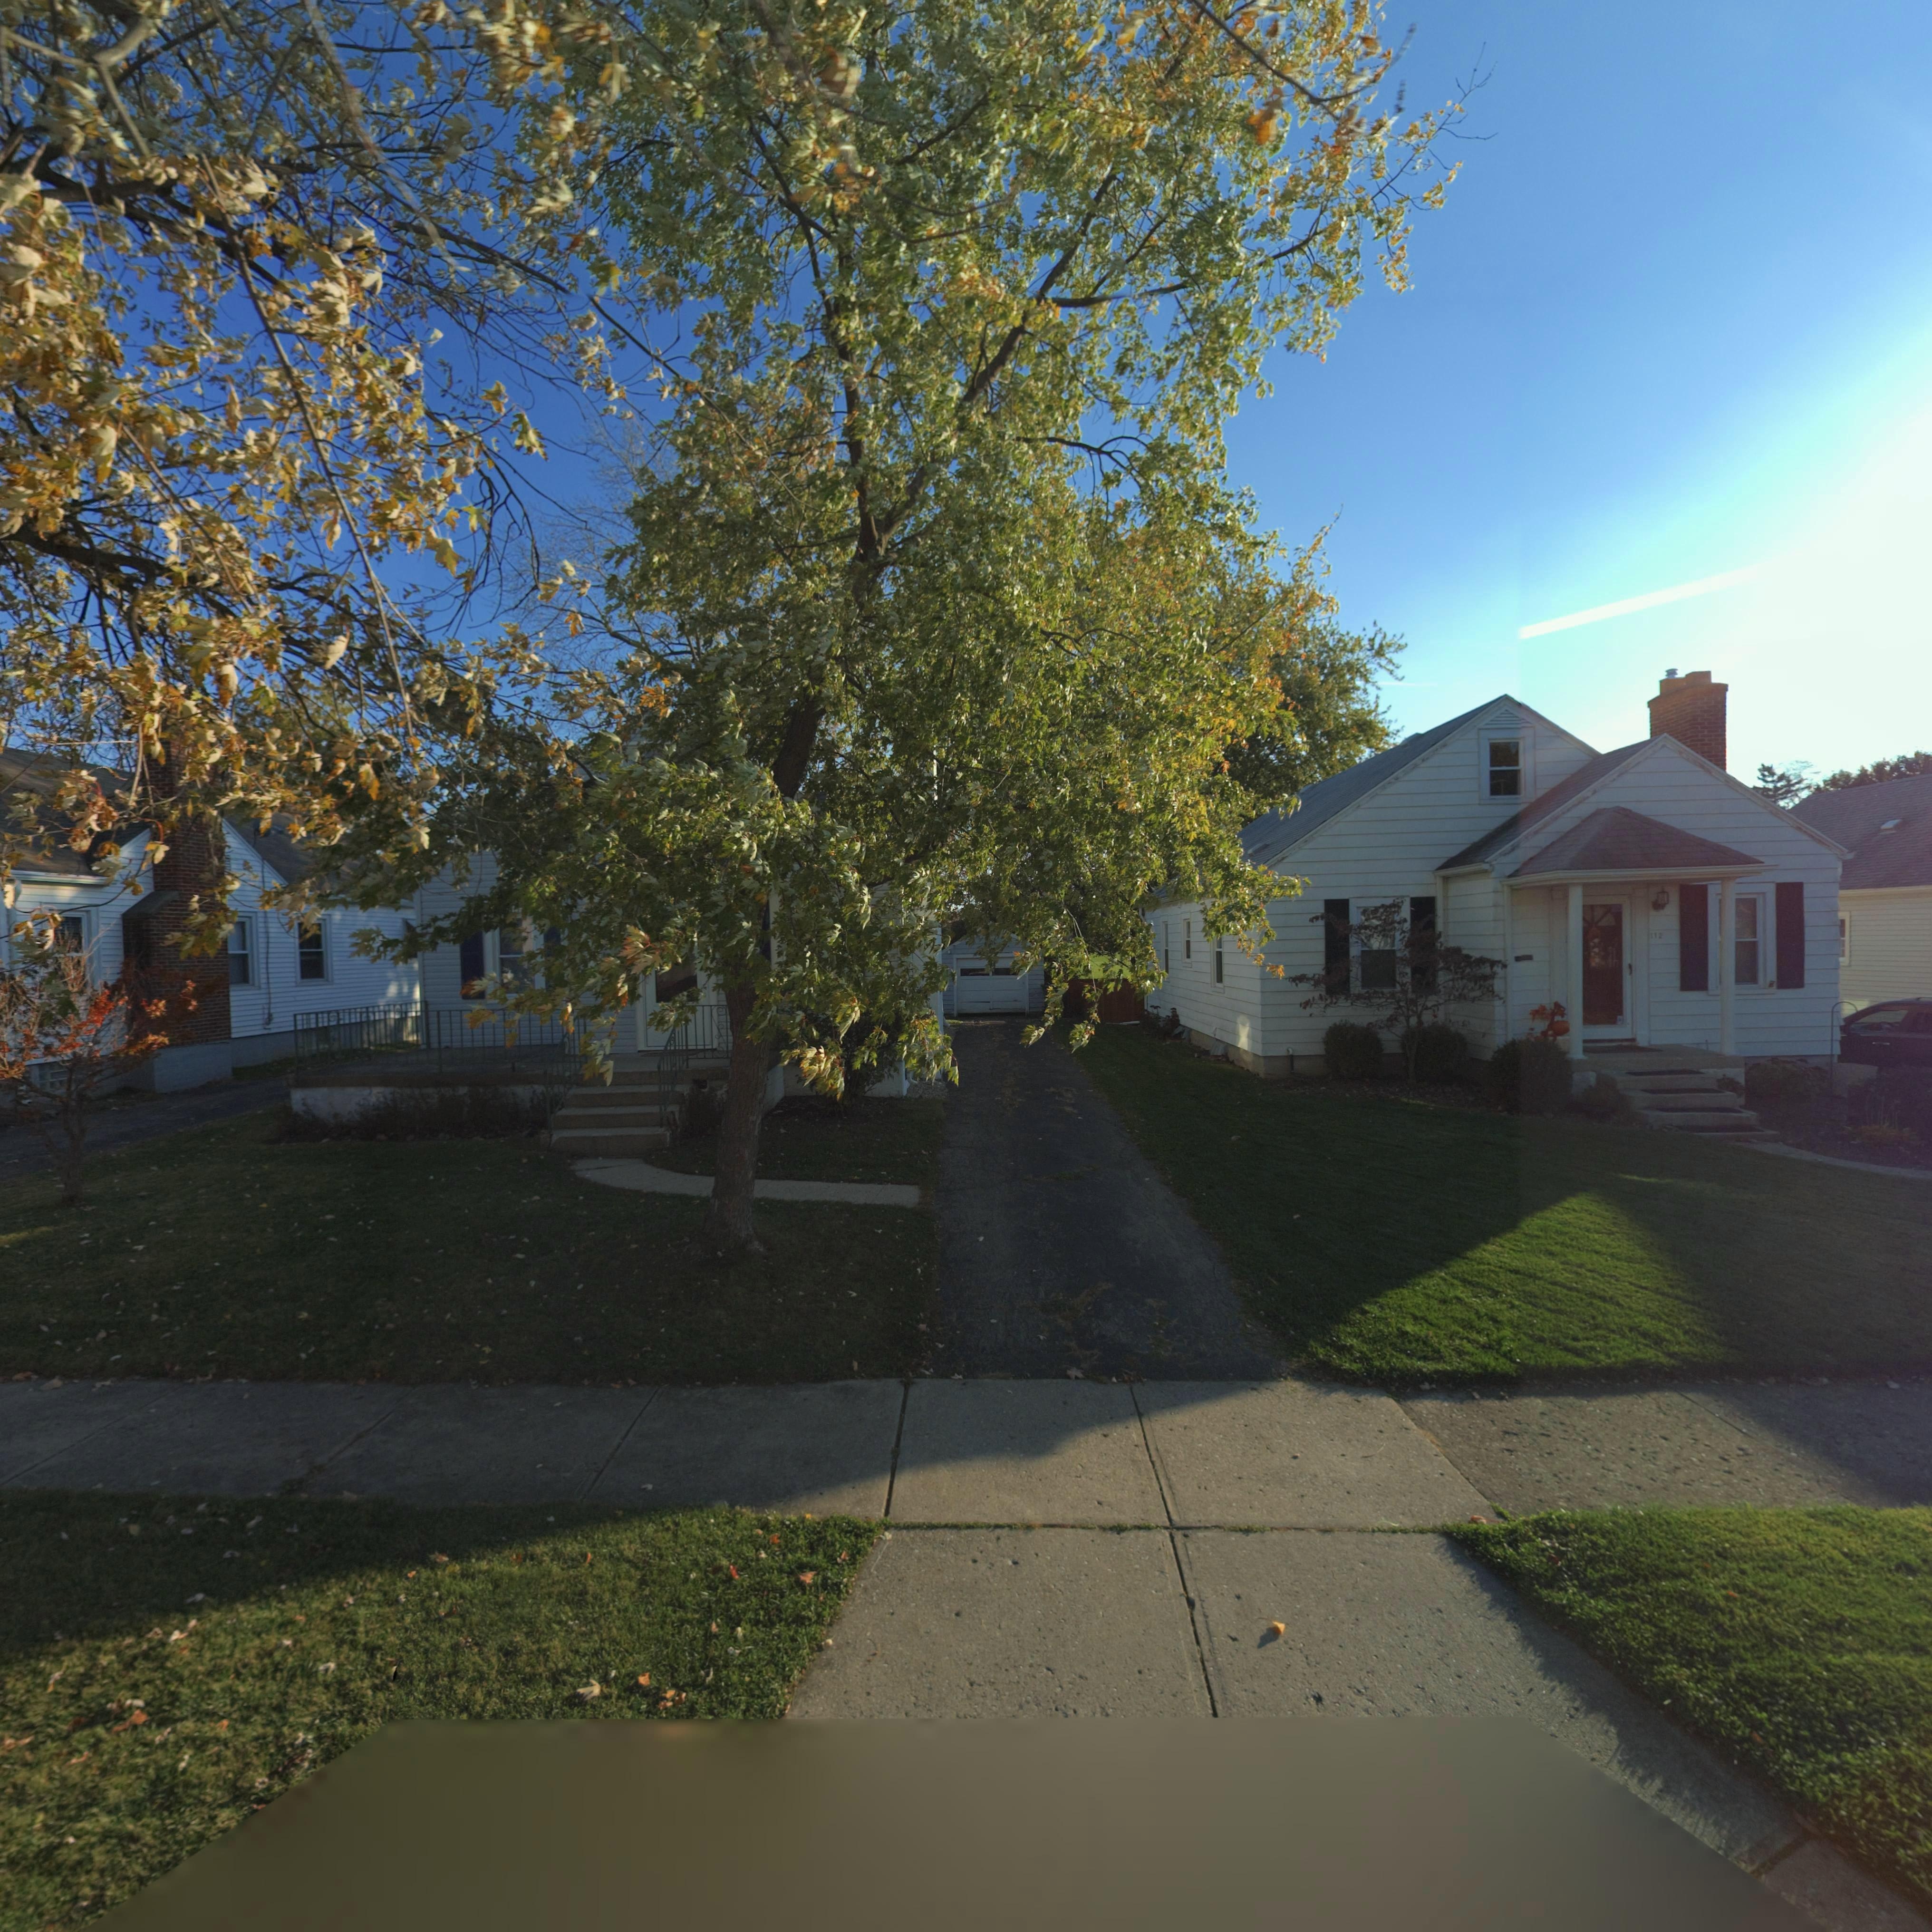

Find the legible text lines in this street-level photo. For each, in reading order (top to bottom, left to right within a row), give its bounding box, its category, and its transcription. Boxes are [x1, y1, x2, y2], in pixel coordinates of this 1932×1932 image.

[1649, 931, 1663, 940] StreetNumber: 112